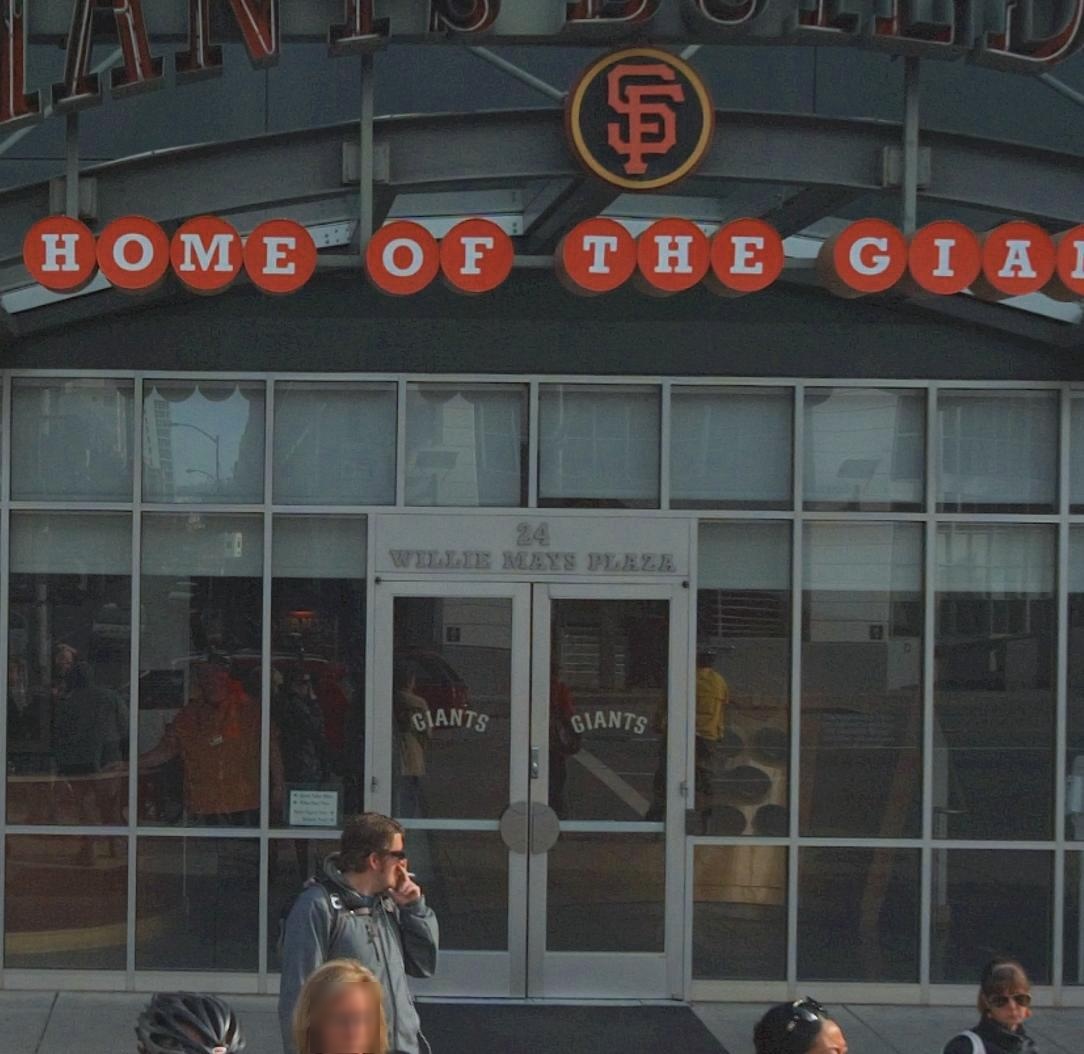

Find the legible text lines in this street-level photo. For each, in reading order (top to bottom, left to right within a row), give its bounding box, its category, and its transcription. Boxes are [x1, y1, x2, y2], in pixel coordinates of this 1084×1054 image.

[36, 230, 1044, 284] None: HOME OF THE GIA
[515, 520, 552, 548] StreetNumber: 24
[383, 547, 680, 575] BusinessName: WILLIE MAYS PLAZA
[405, 704, 493, 736] None: GIANTS
[566, 707, 651, 737] None: GIANTS